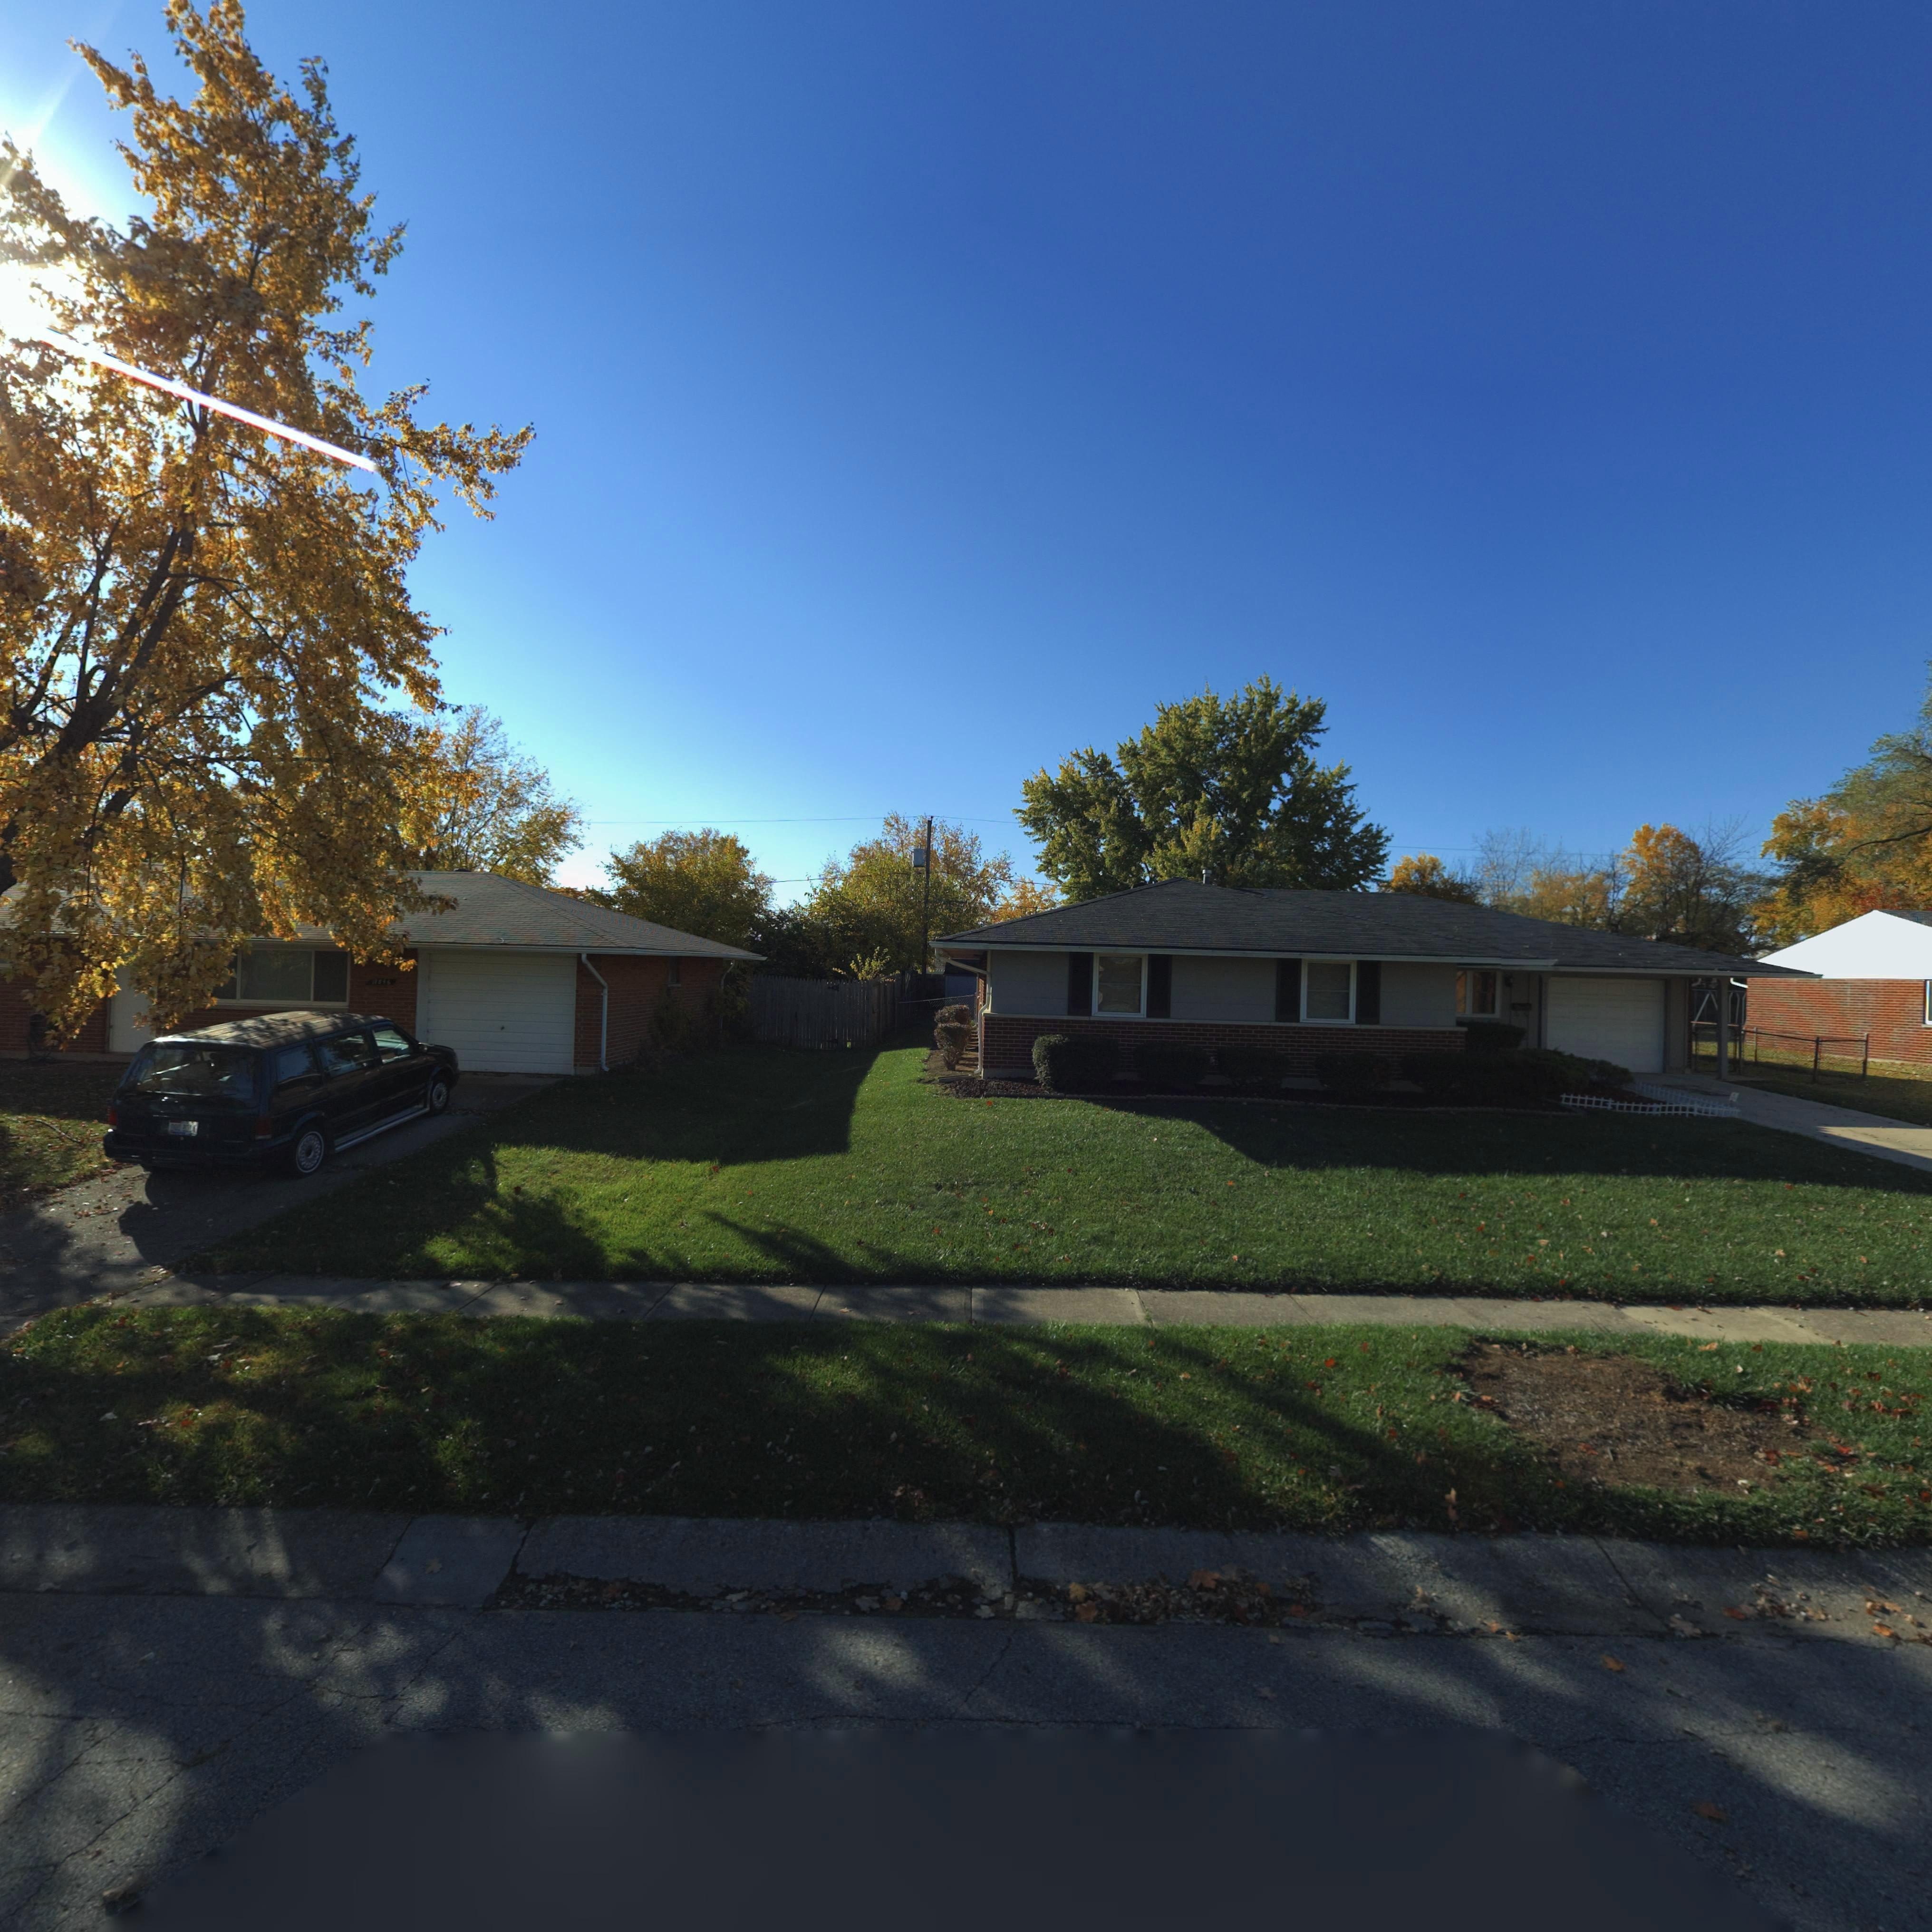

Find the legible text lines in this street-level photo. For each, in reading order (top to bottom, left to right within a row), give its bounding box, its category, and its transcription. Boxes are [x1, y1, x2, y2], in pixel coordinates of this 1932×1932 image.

[373, 978, 391, 985] StreetNumber: 7846
[1542, 982, 1549, 1011] StreetNumber: 7***